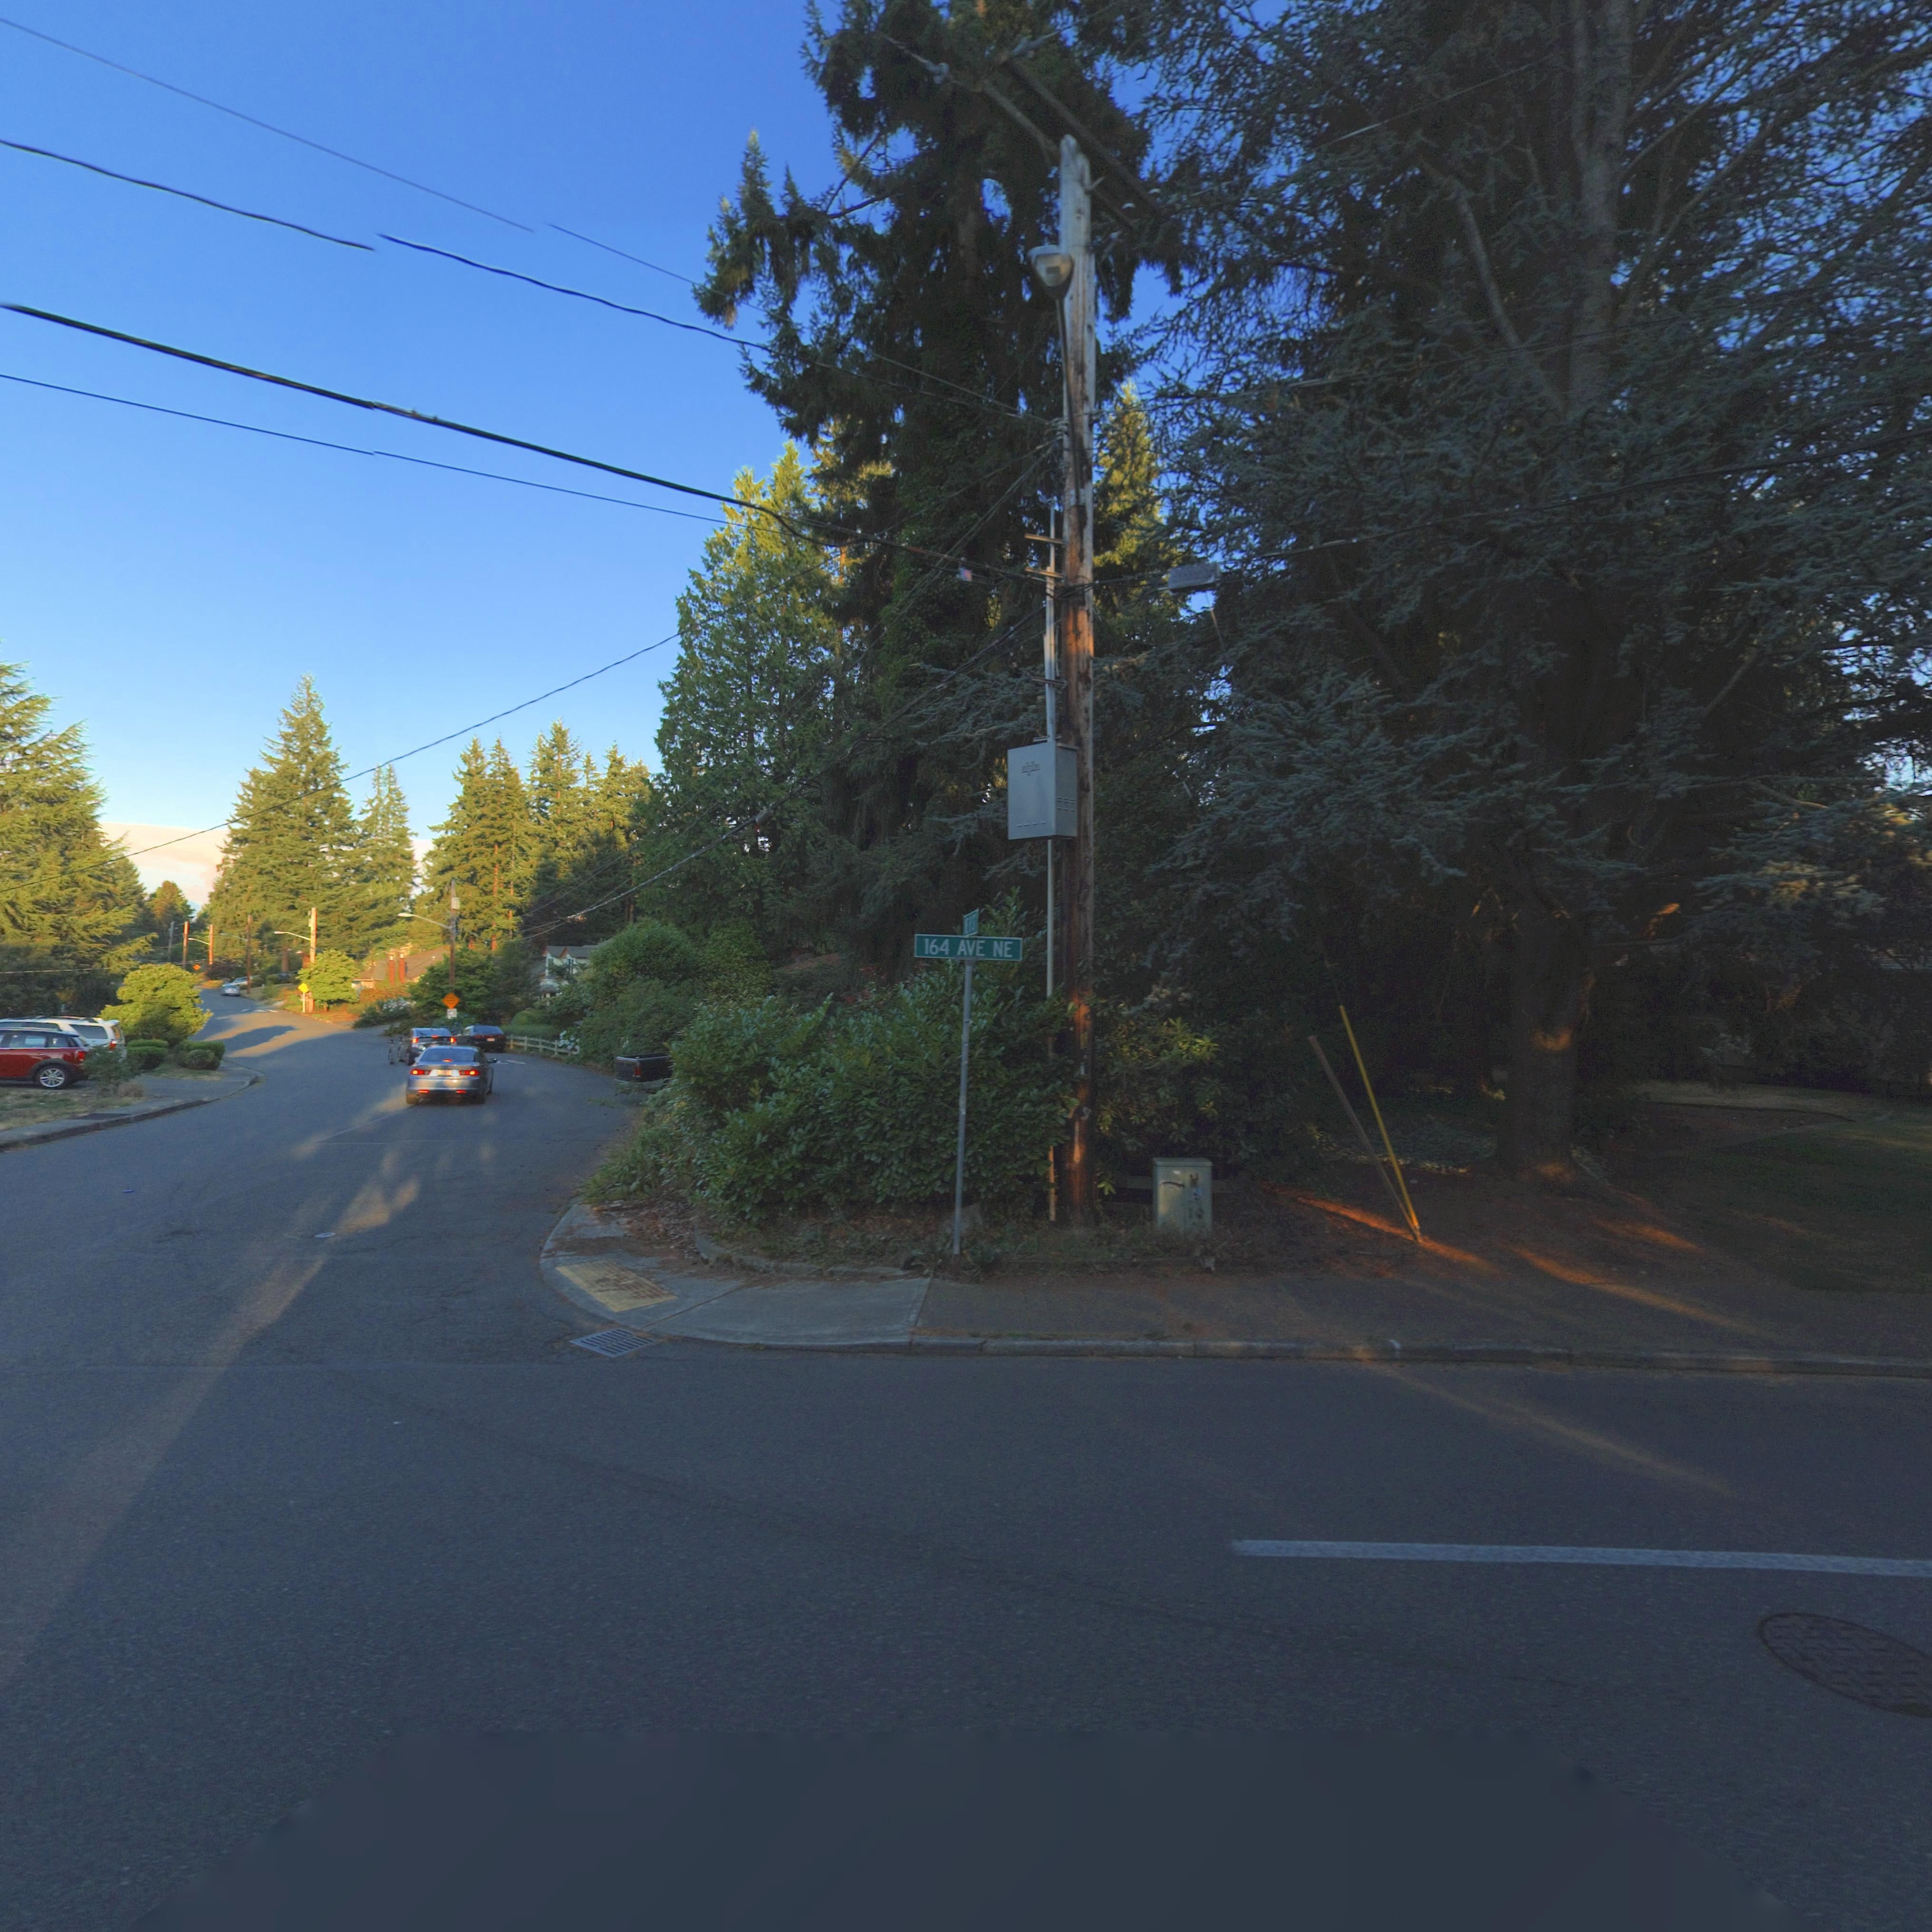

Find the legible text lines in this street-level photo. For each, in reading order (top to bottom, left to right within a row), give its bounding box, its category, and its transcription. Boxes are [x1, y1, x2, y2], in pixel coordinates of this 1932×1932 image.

[923, 935, 1015, 958] StreetName: 164 AVE NE